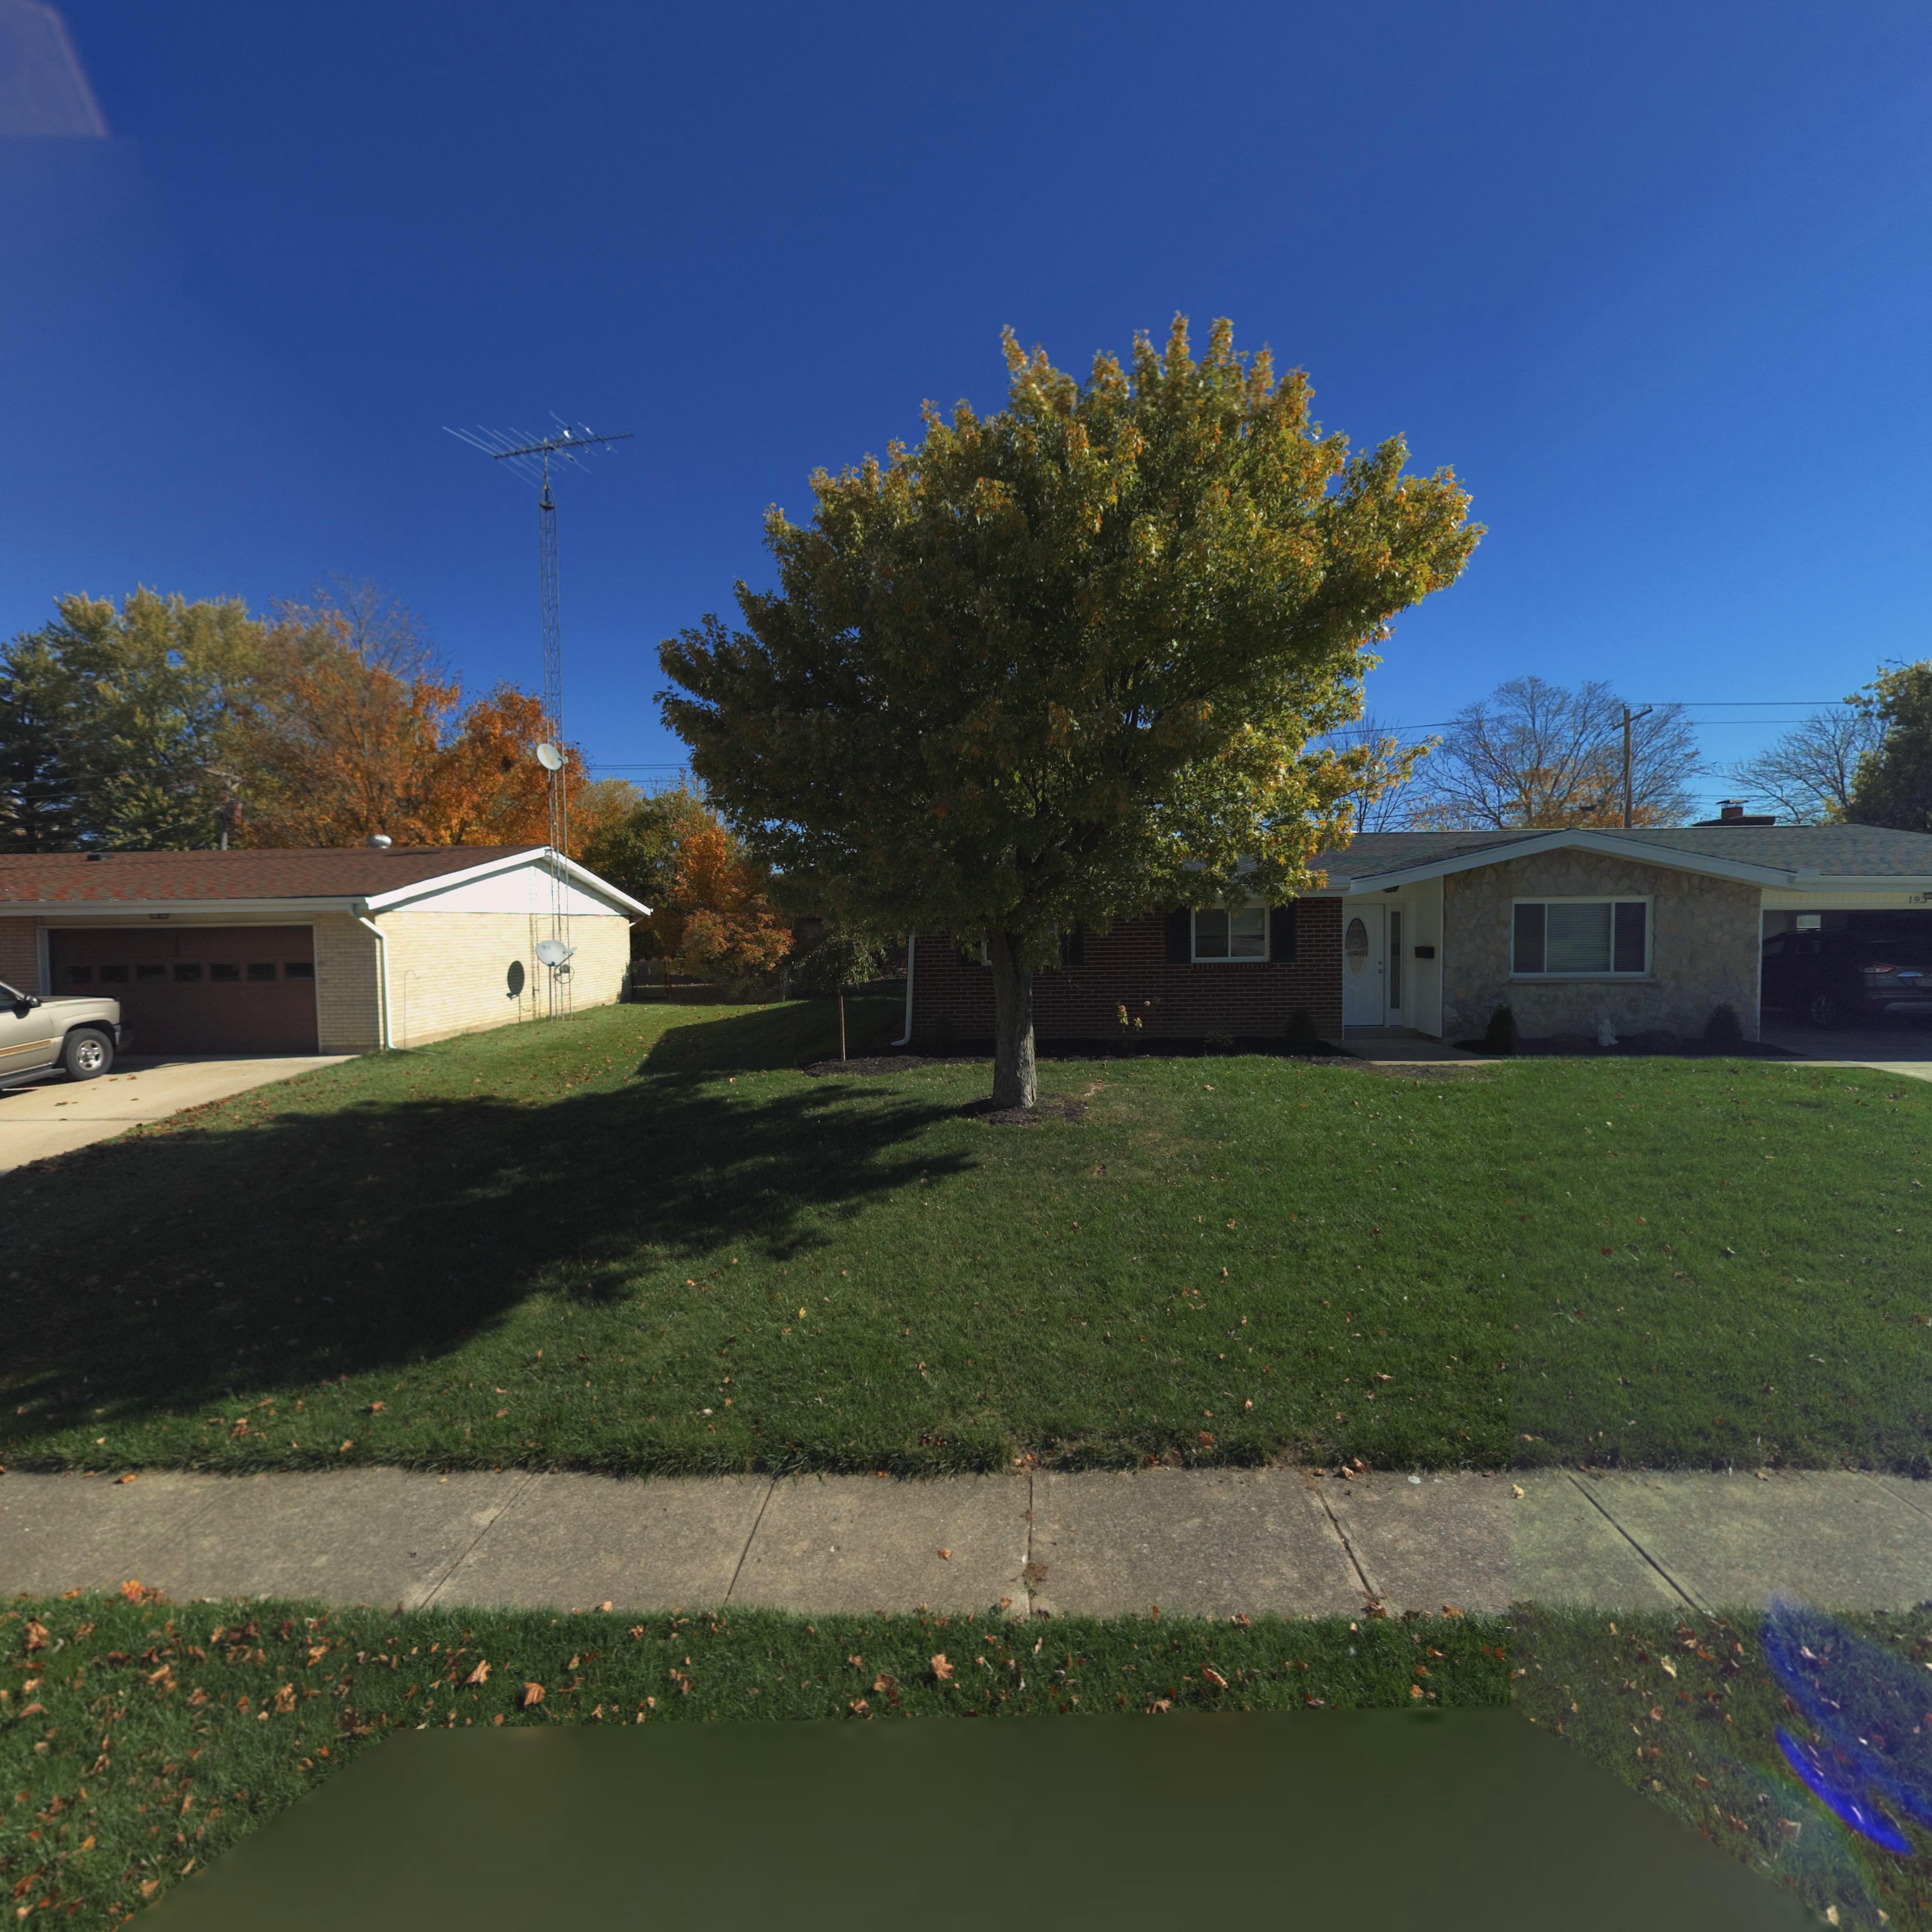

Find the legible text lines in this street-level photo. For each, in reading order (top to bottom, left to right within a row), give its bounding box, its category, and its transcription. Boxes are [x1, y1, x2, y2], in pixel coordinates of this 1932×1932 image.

[1908, 894, 1928, 905] StreetNumber: 19*